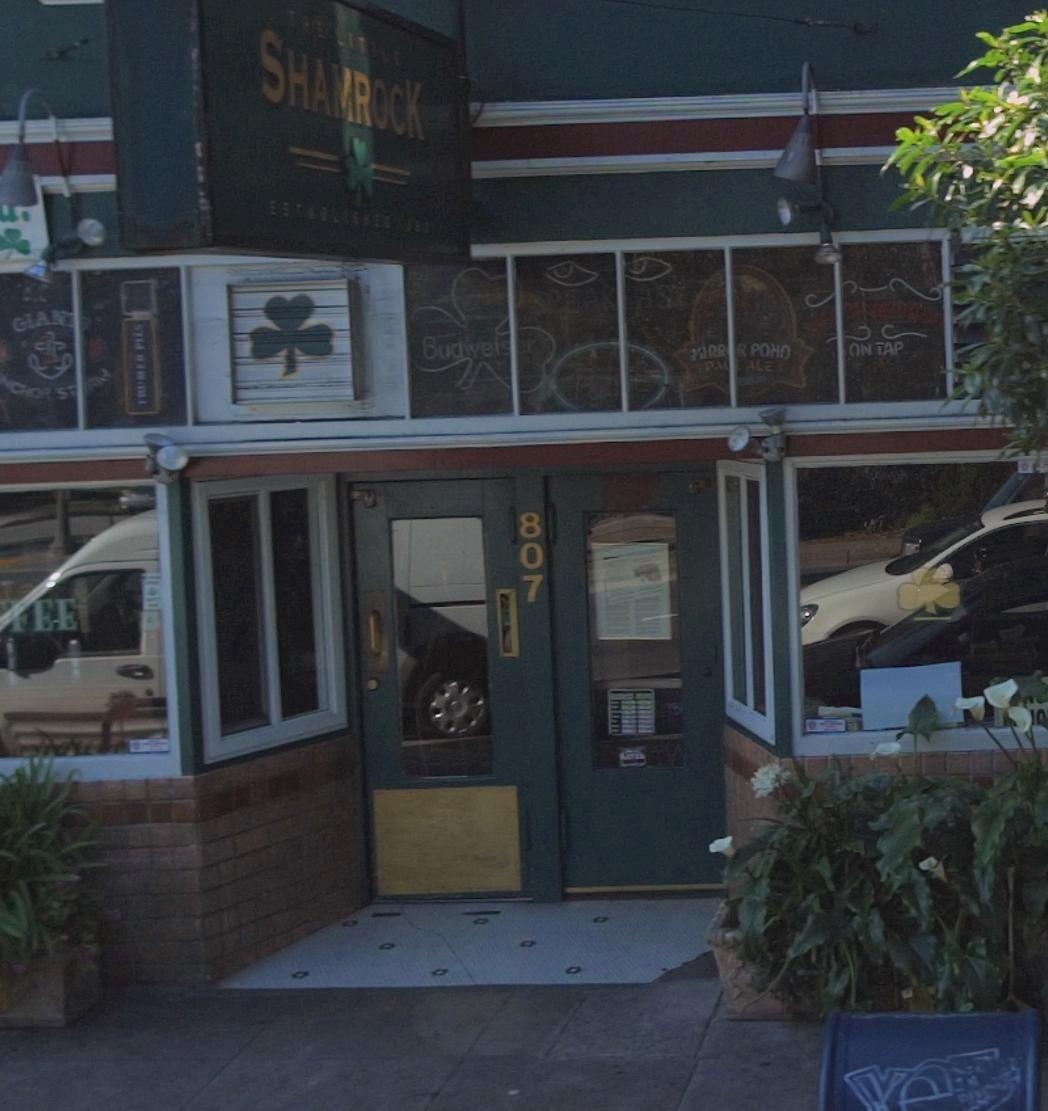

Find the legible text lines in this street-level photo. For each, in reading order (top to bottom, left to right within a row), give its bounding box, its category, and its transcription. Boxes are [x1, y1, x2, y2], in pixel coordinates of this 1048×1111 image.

[255, 21, 429, 143] BusinessName: SHAMROCK
[5, 308, 96, 336] None: GIAN**
[421, 335, 537, 361] None: Budweiser
[703, 356, 775, 375] None: PAL ALE
[684, 340, 795, 364] None: MIRR*R POND
[847, 338, 905, 359] None: ON TAP
[515, 507, 545, 606] StreetNumber: 807
[7, 595, 79, 637] None: FEE